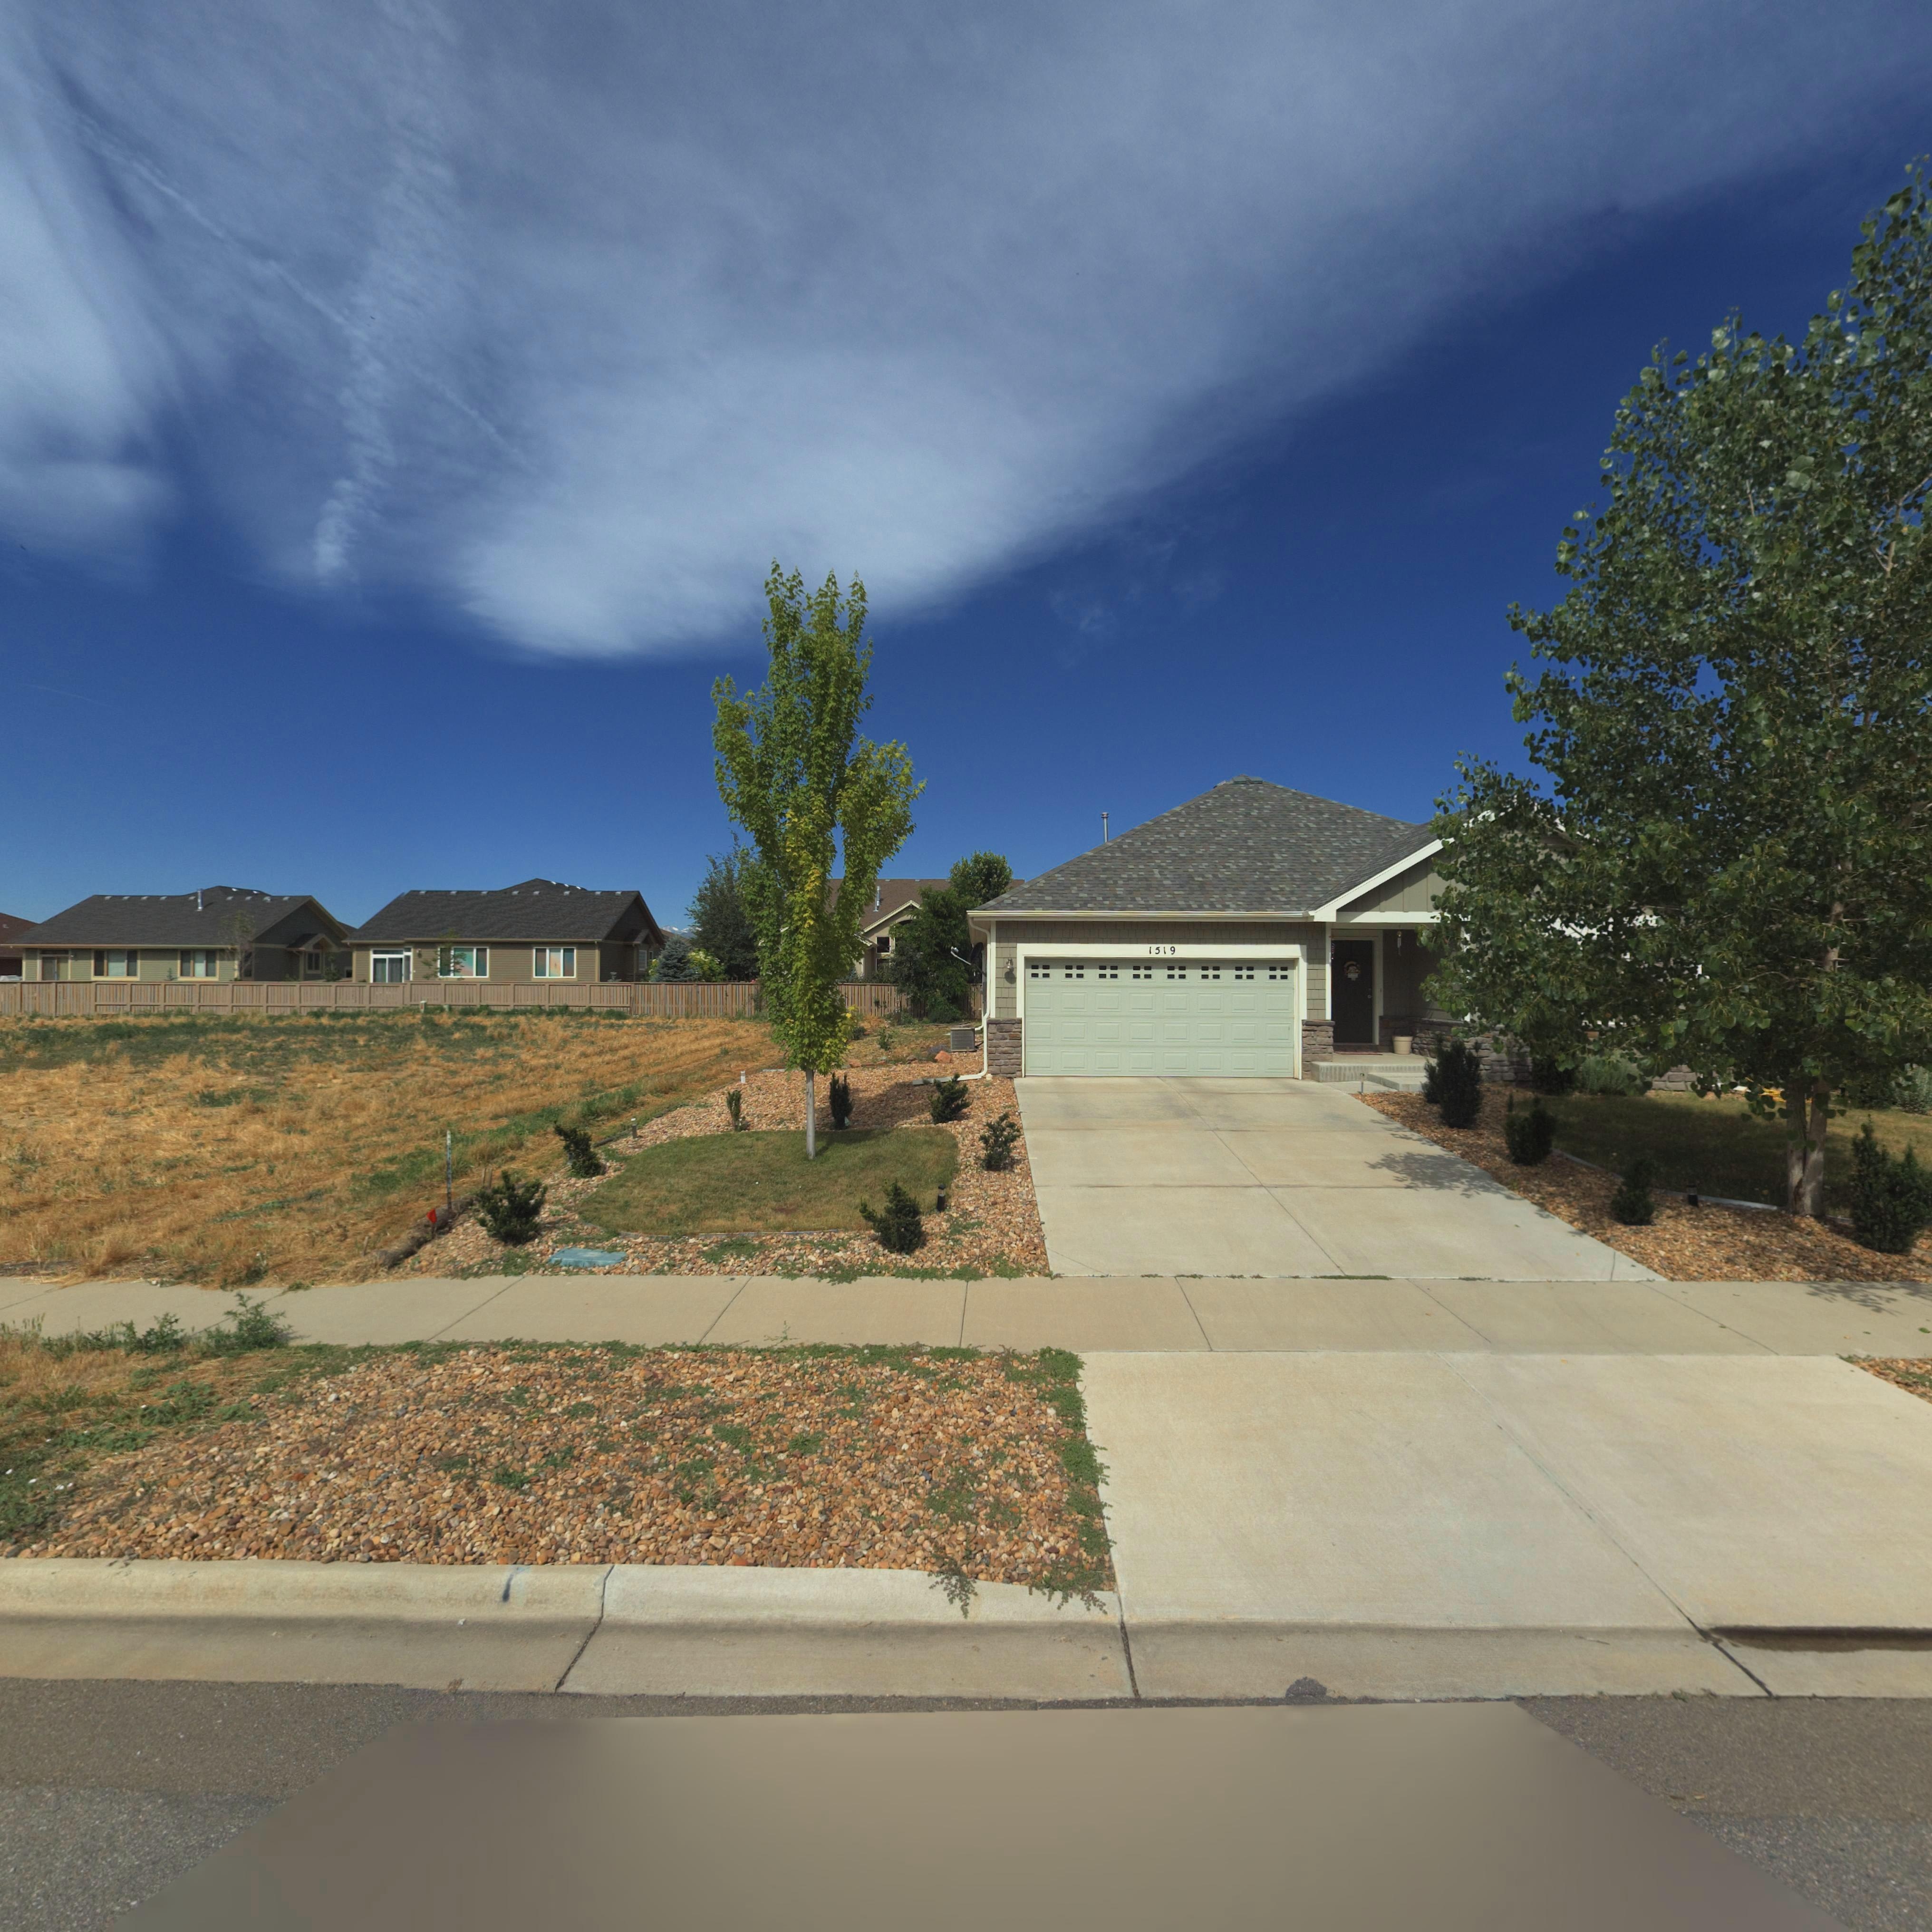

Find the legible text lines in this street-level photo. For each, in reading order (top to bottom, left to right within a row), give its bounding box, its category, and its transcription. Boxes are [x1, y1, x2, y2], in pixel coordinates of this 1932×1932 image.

[1149, 946, 1175, 955] StreetNumber: 1519